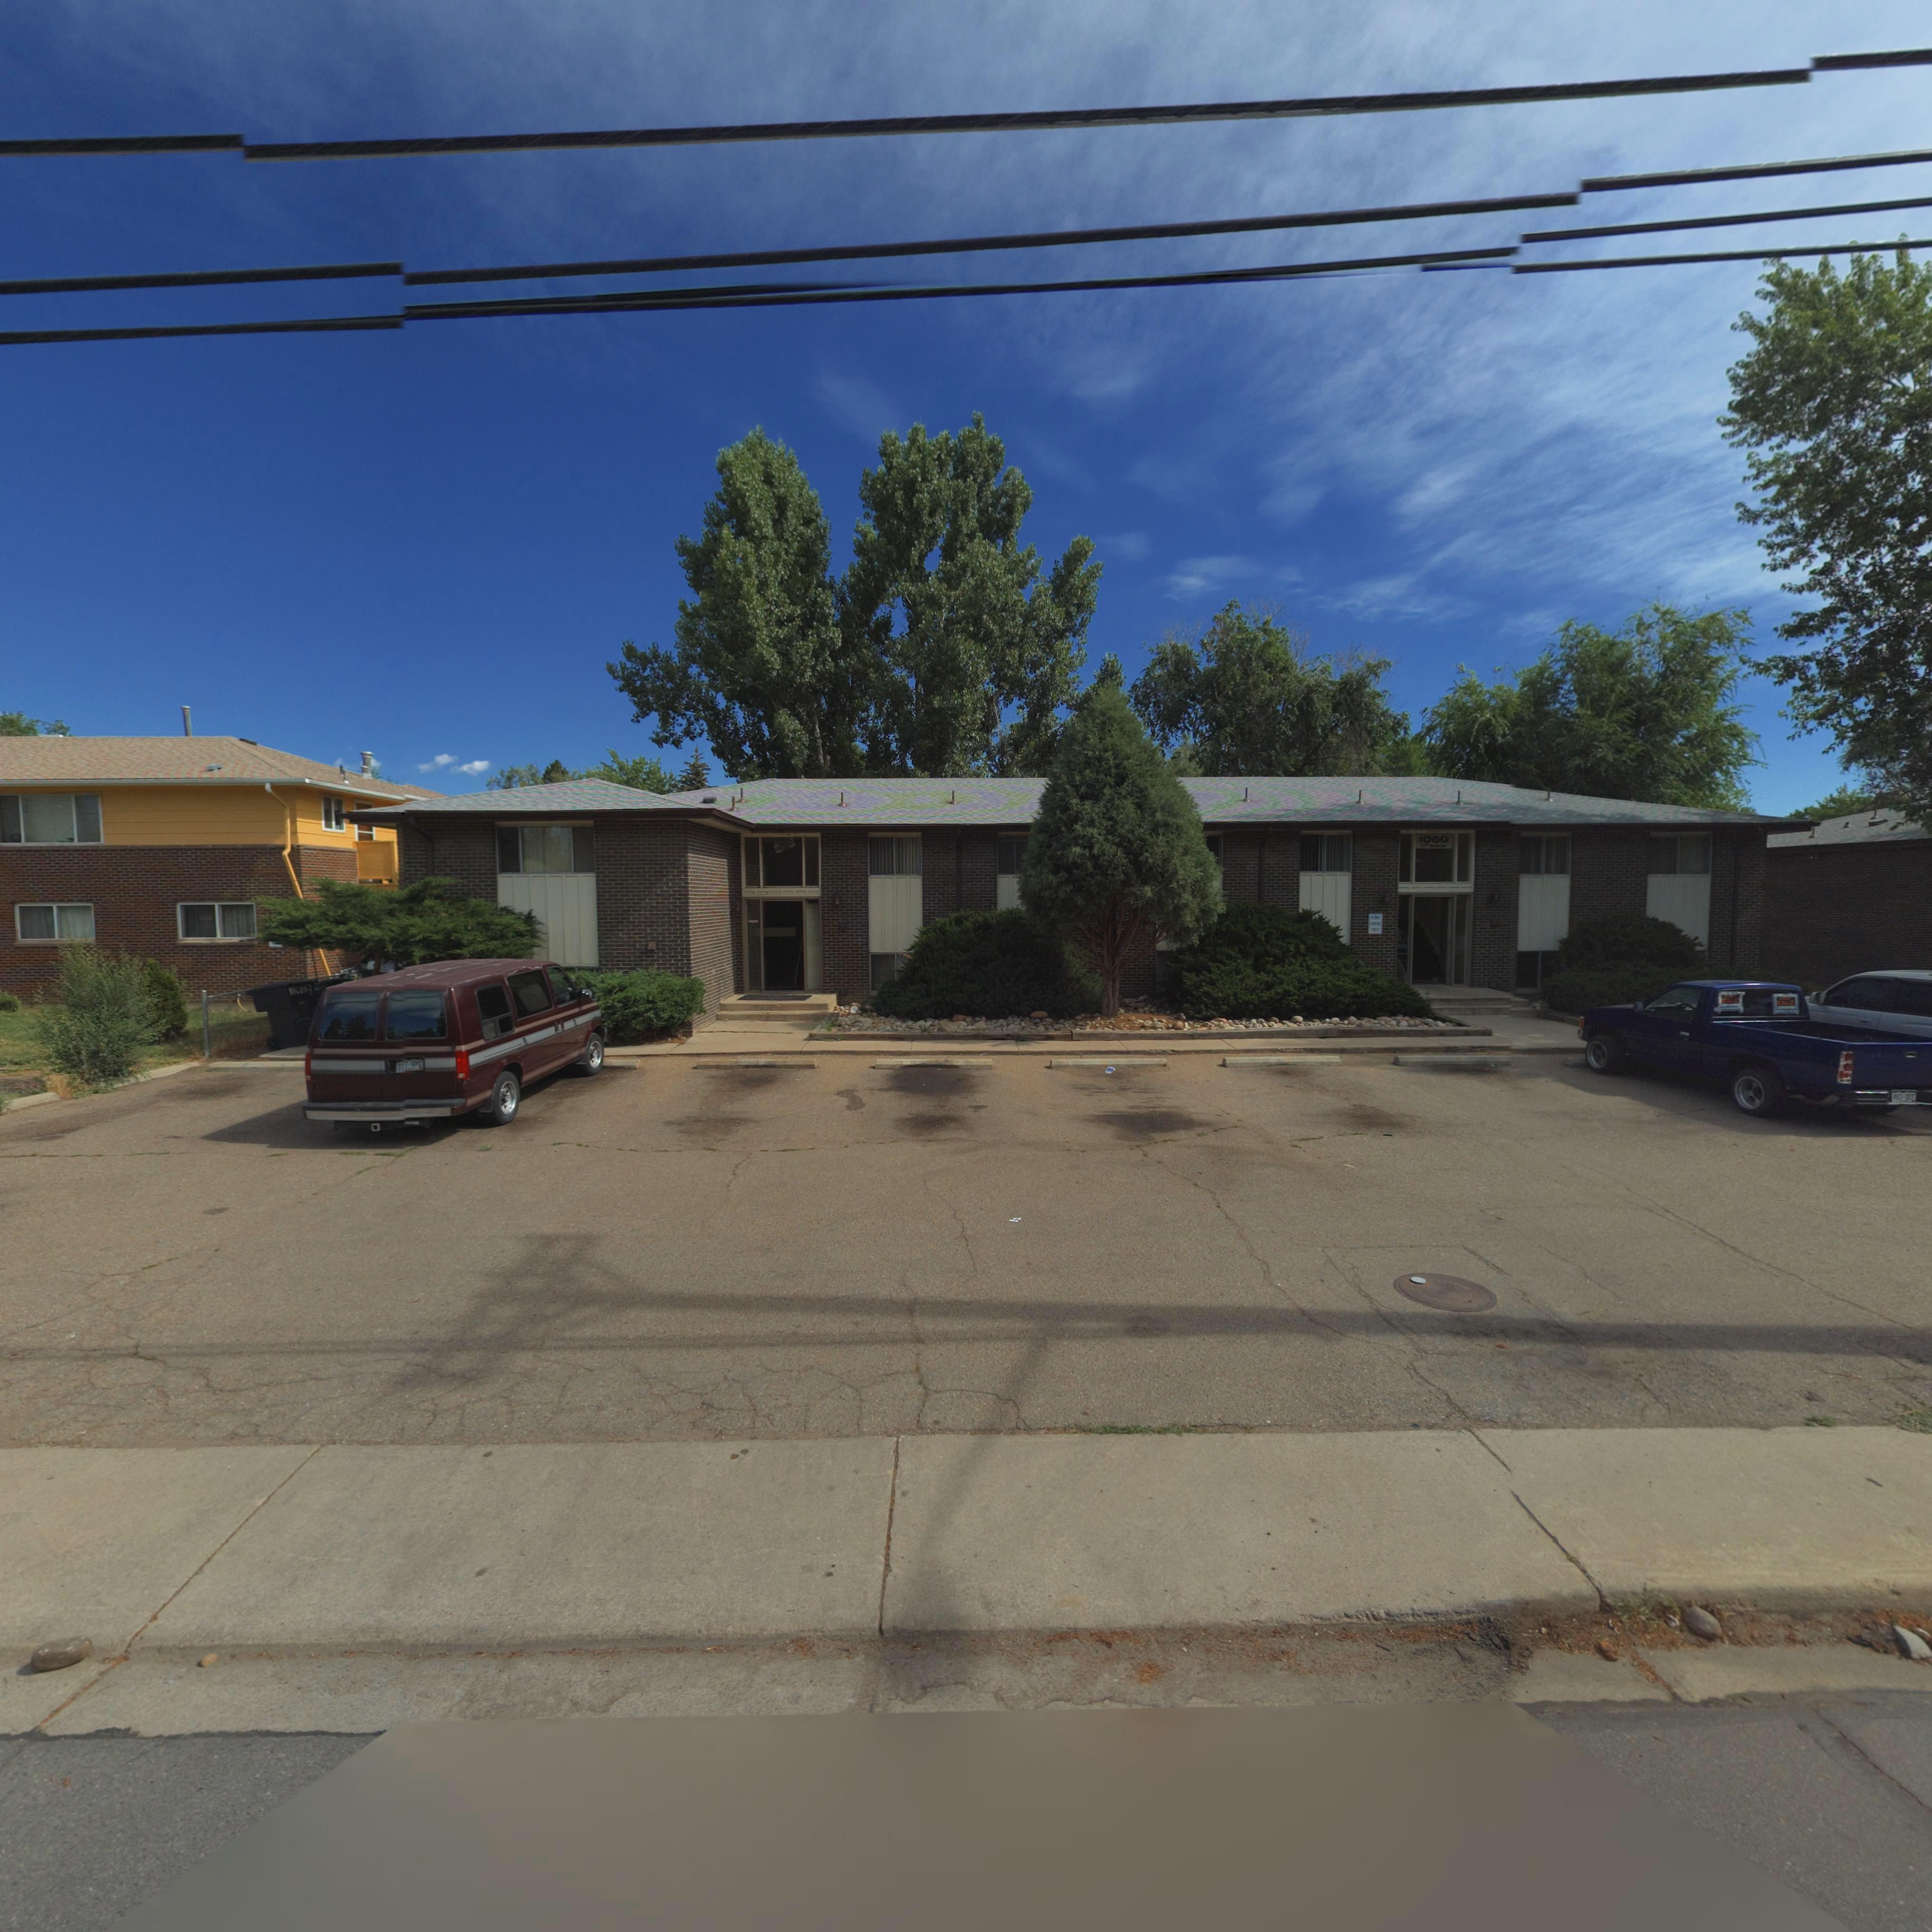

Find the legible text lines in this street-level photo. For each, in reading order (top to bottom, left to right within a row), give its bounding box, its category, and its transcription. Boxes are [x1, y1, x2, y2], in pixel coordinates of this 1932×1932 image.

[1418, 835, 1449, 843] StreetNumber: 1060
[1420, 843, 1447, 848] StreetName: 17** A*****